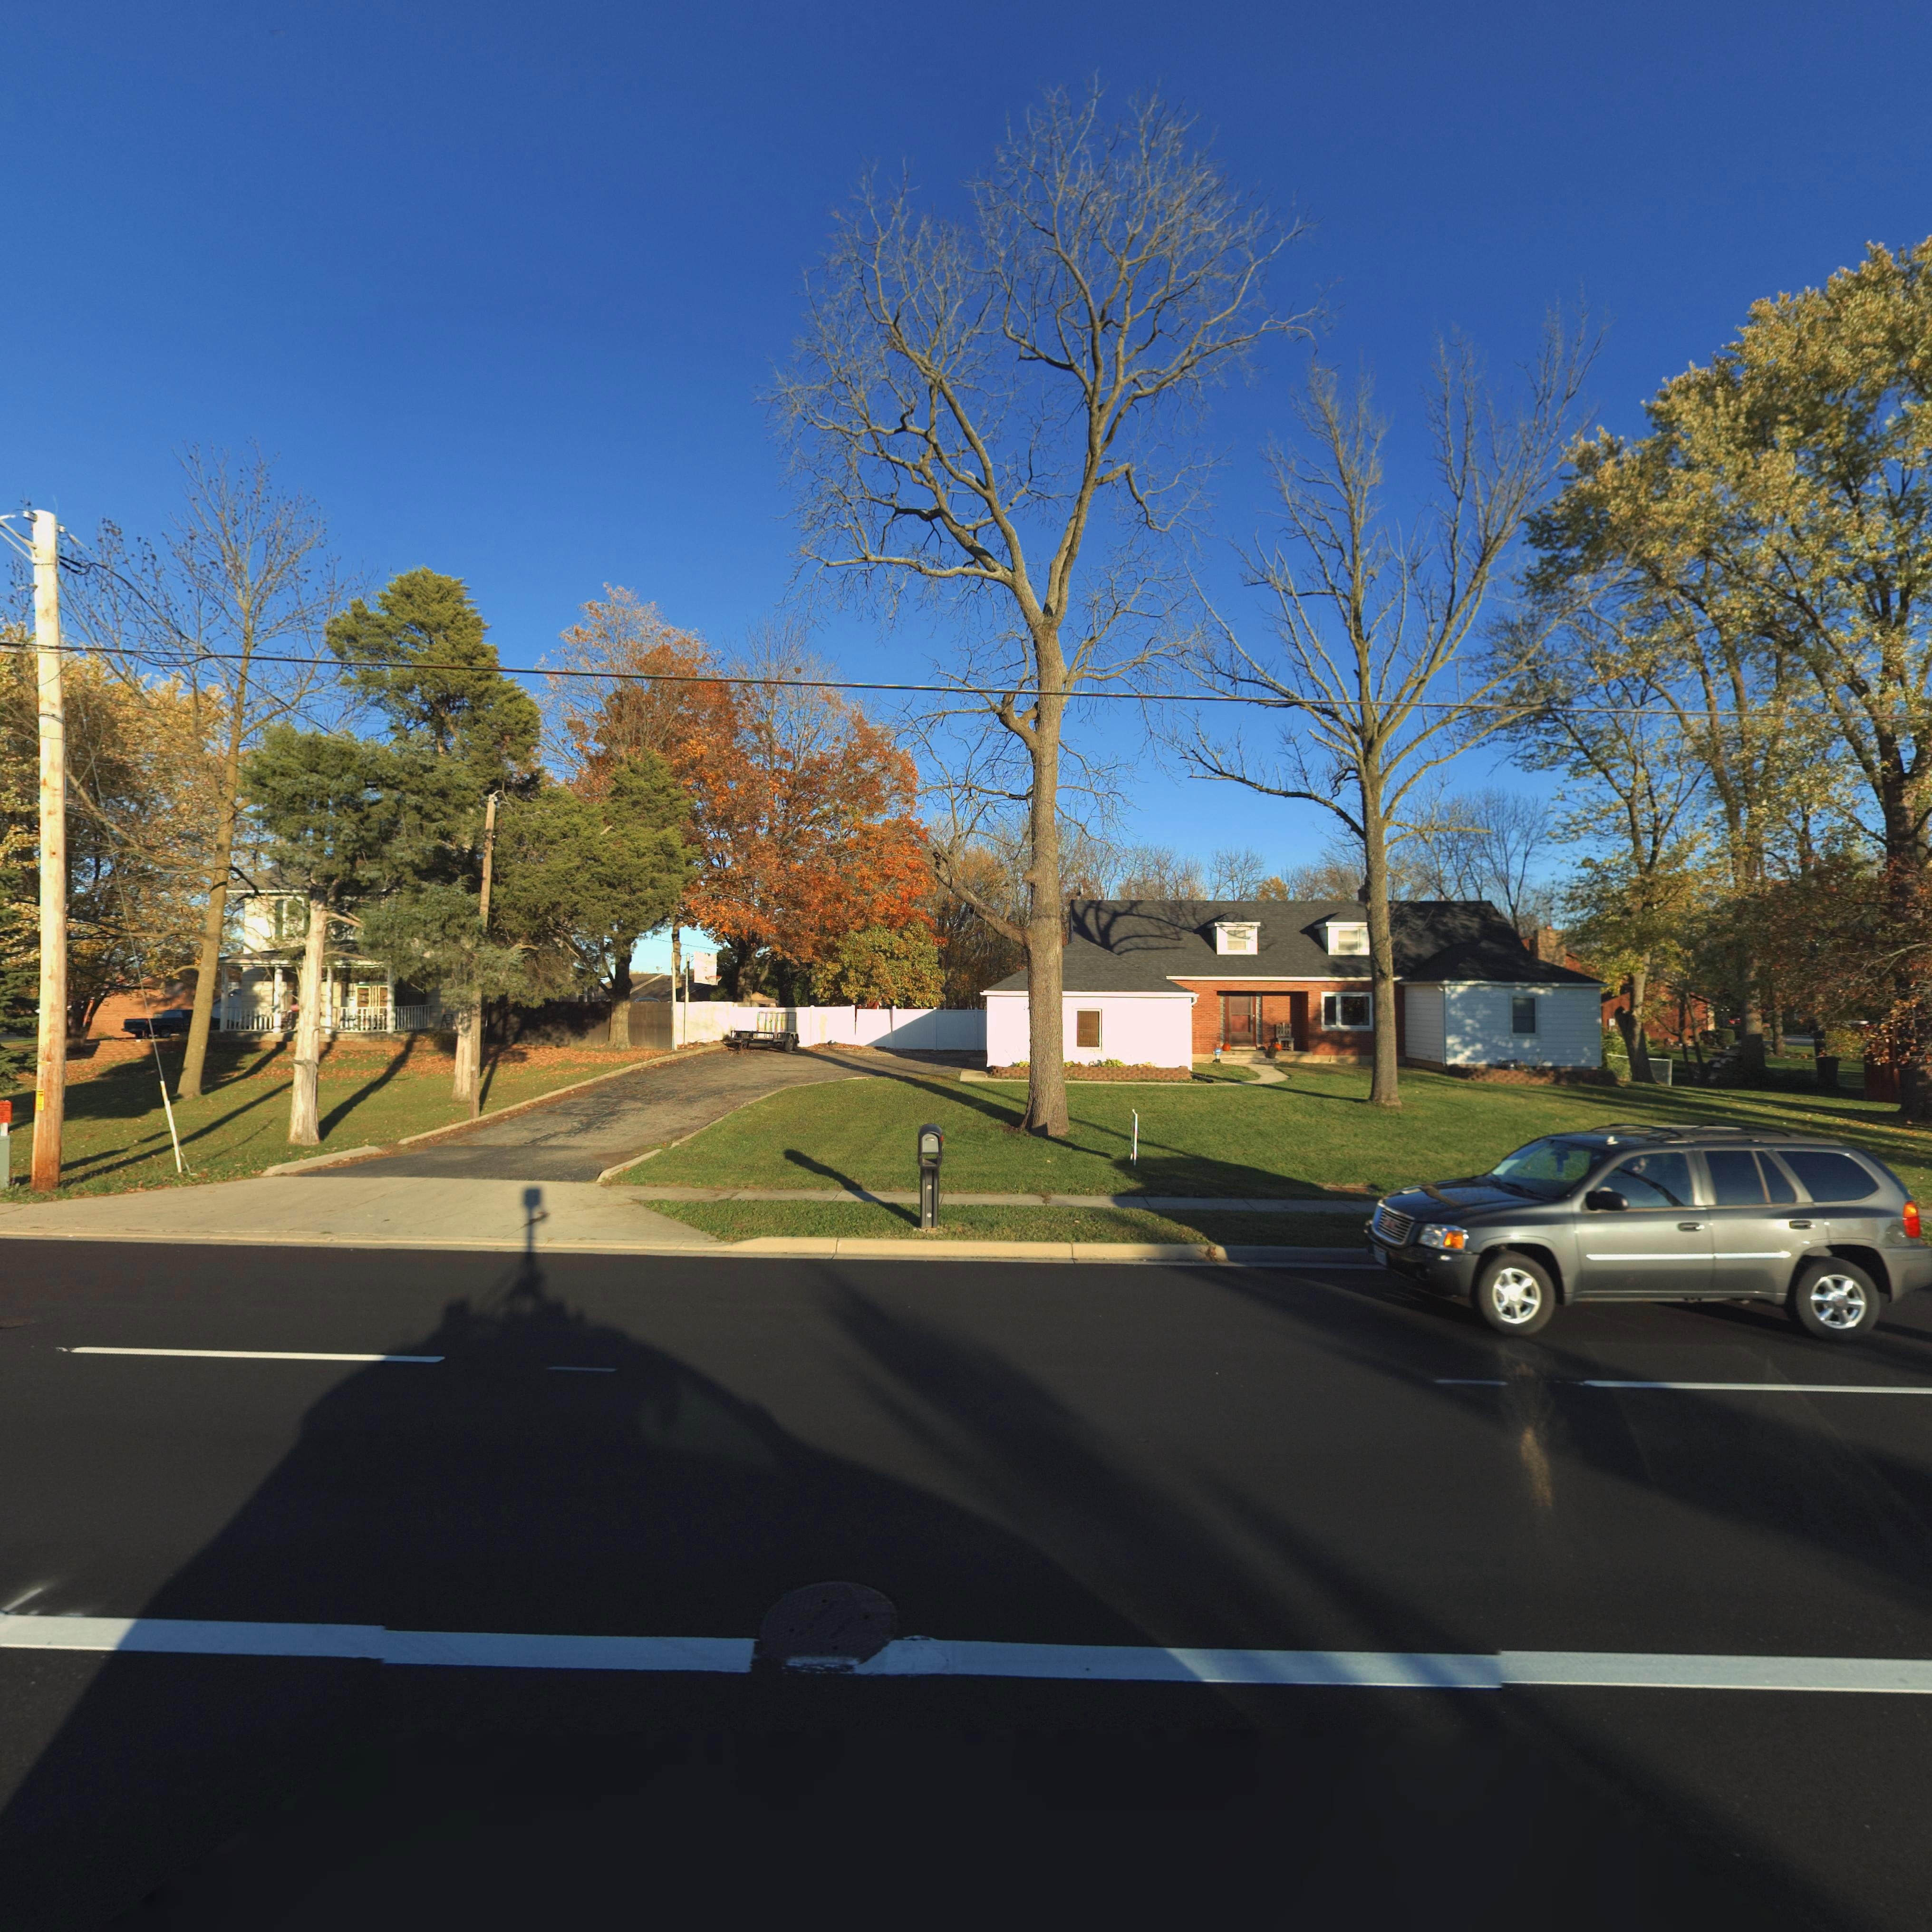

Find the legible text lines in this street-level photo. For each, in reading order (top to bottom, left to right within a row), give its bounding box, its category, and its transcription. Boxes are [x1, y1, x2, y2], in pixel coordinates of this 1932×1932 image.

[1023, 1005, 1026, 1010] StreetNumber: 7